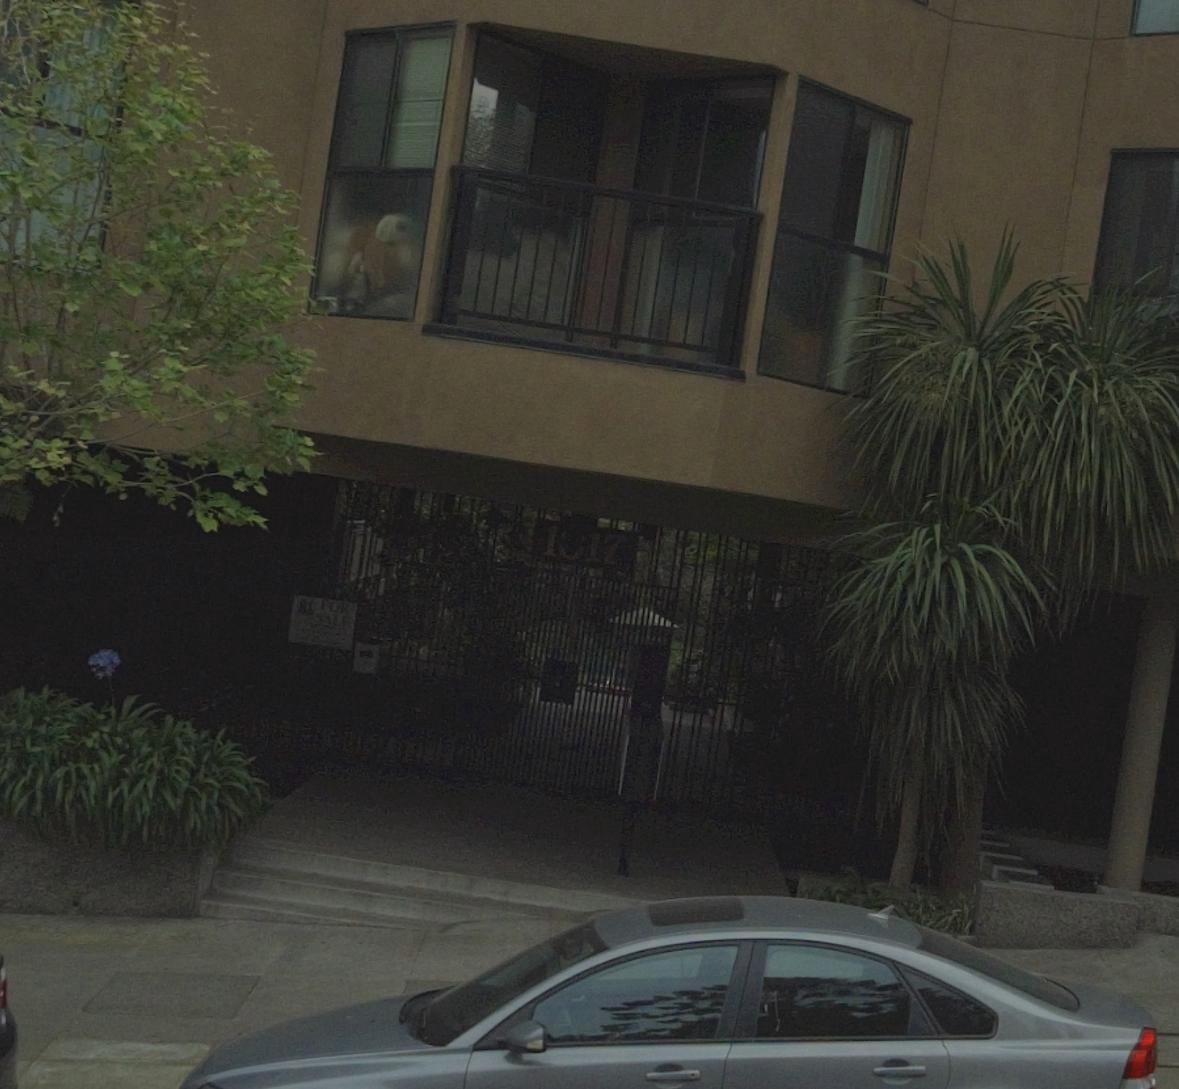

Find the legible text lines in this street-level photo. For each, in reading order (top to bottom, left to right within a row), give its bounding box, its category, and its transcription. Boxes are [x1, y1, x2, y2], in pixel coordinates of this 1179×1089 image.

[539, 523, 631, 565] StreetNumber: 1*17
[320, 598, 351, 615] None: FOR
[312, 610, 352, 630] None: SALE